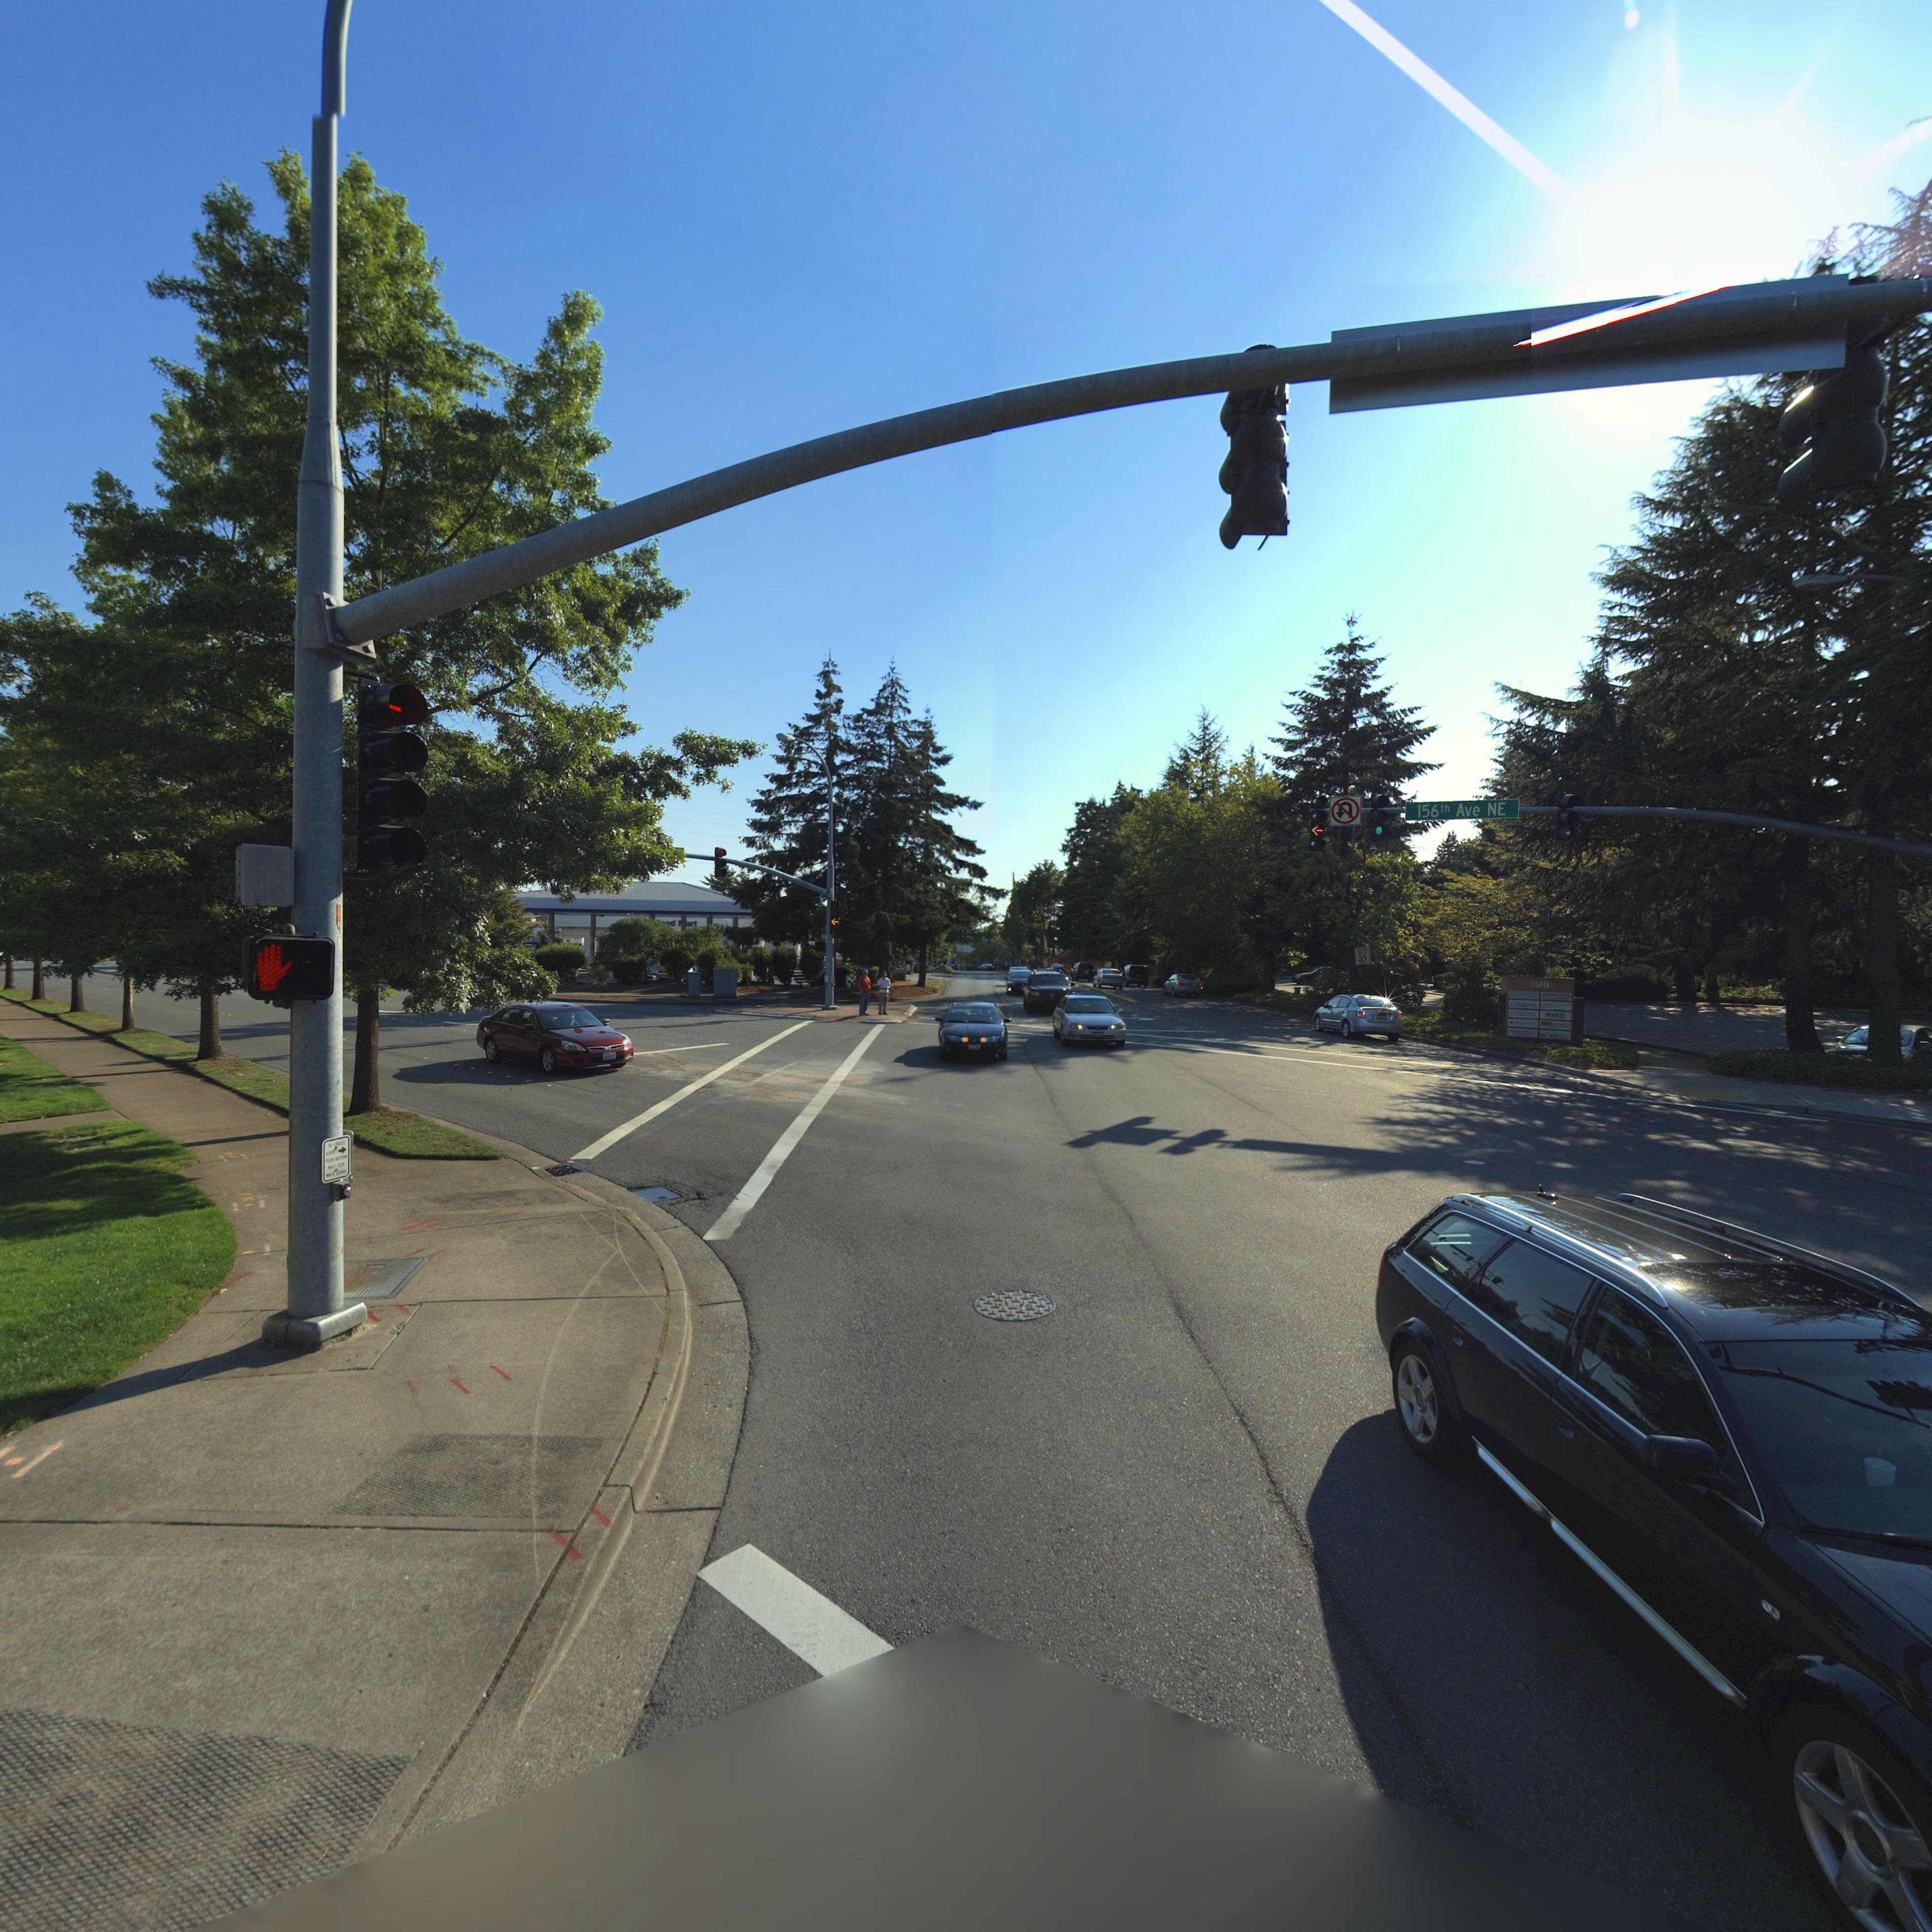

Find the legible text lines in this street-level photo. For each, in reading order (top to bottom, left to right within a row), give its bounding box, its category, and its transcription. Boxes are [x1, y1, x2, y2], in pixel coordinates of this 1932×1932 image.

[1416, 802, 1506, 818] StreetName: 56 h Ave NE
[665, 919, 697, 927] BusinessName: *d *art
[1531, 981, 1550, 988] StreetNumber: 15446
[1508, 1000, 1538, 1008] BusinessName: Col*a***
[1544, 1012, 1559, 1017] BusinessName: *AO